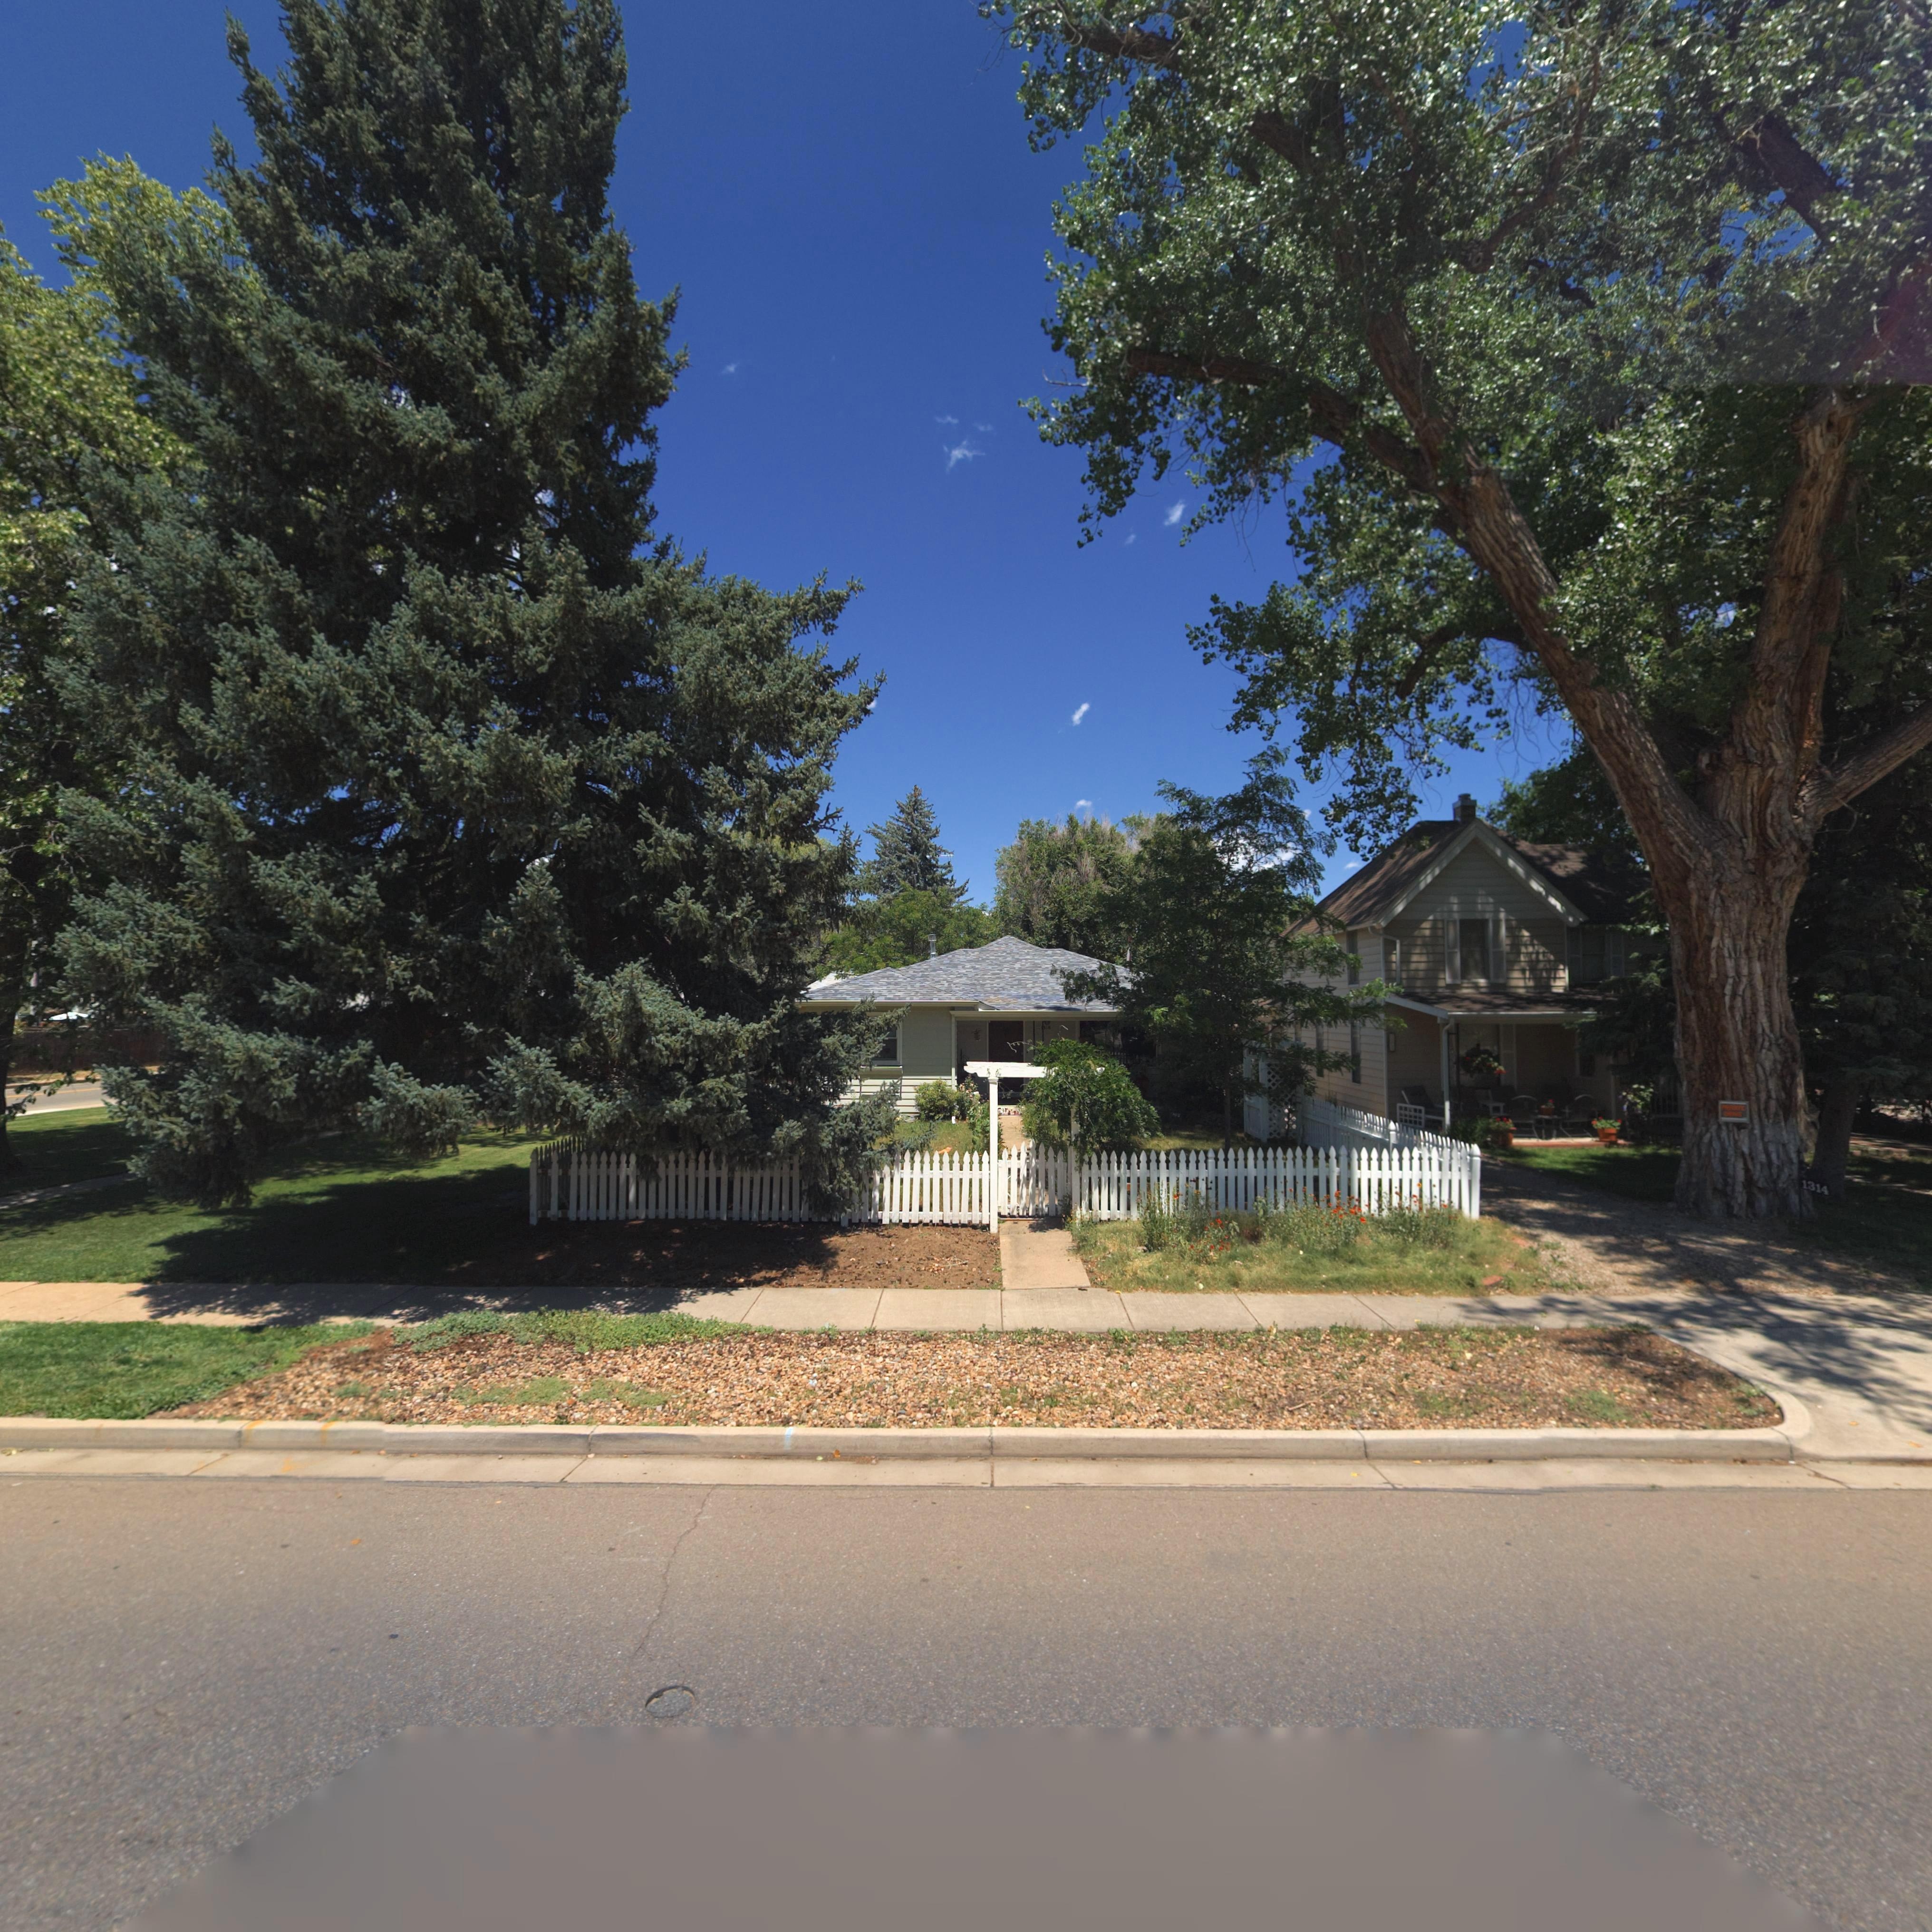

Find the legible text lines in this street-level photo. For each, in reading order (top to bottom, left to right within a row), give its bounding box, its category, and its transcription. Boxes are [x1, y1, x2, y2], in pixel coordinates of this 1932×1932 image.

[1043, 1025, 1051, 1030] StreetNumber: *18
[1801, 1179, 1828, 1196] StreetNumber: 1314